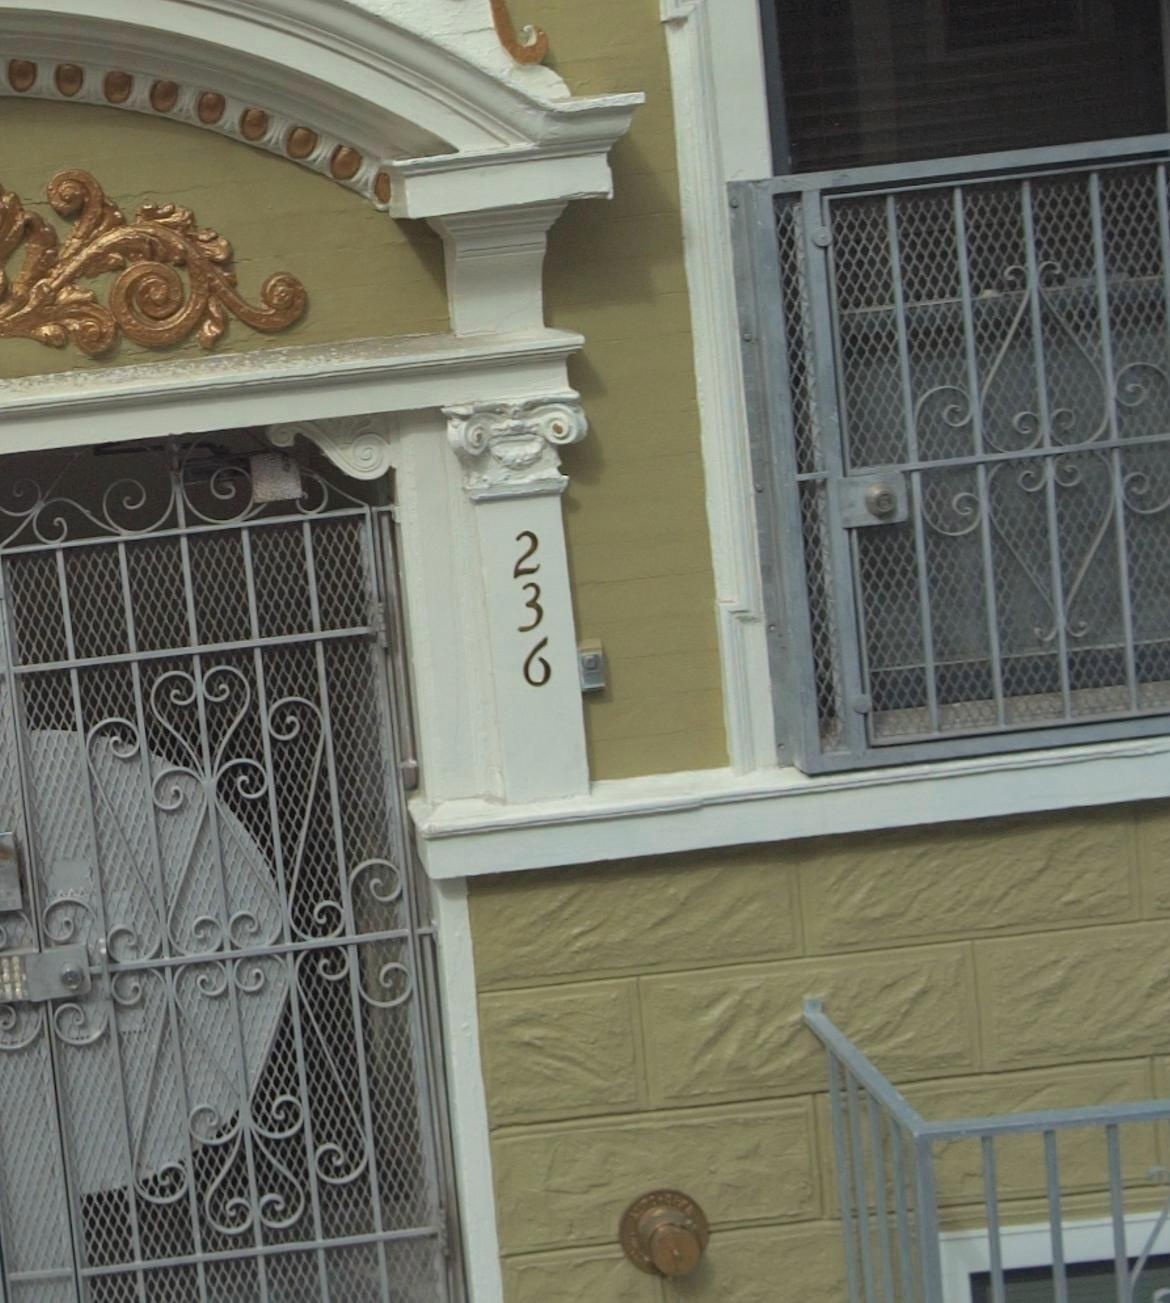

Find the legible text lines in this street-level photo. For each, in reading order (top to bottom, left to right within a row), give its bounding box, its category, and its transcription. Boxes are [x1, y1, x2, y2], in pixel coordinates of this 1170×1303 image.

[506, 524, 557, 692] StreetNumber: 236